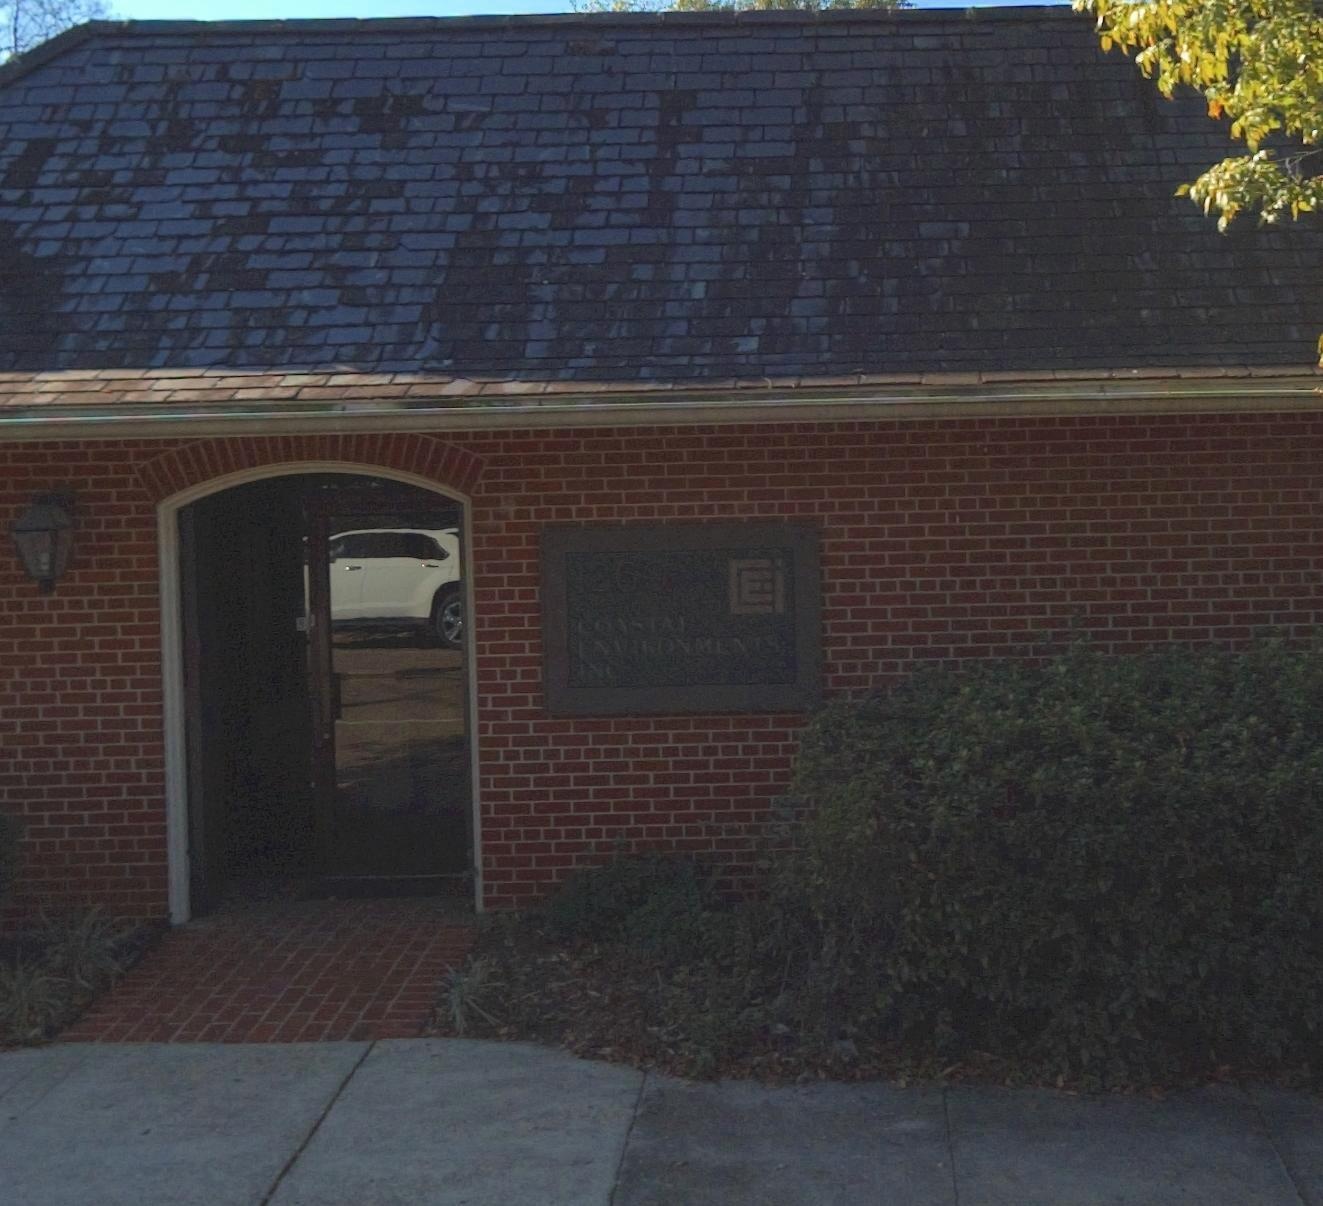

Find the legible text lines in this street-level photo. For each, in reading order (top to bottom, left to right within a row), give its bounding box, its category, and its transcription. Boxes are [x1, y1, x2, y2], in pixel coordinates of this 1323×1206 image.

[573, 557, 671, 598] StreetNumber: 1260
[738, 567, 777, 606] None: E
[573, 612, 695, 639] BusinessName: COASTAL
[575, 633, 783, 665] BusinessName: ENVIRONMEN**
[576, 660, 625, 683] BusinessName: INC